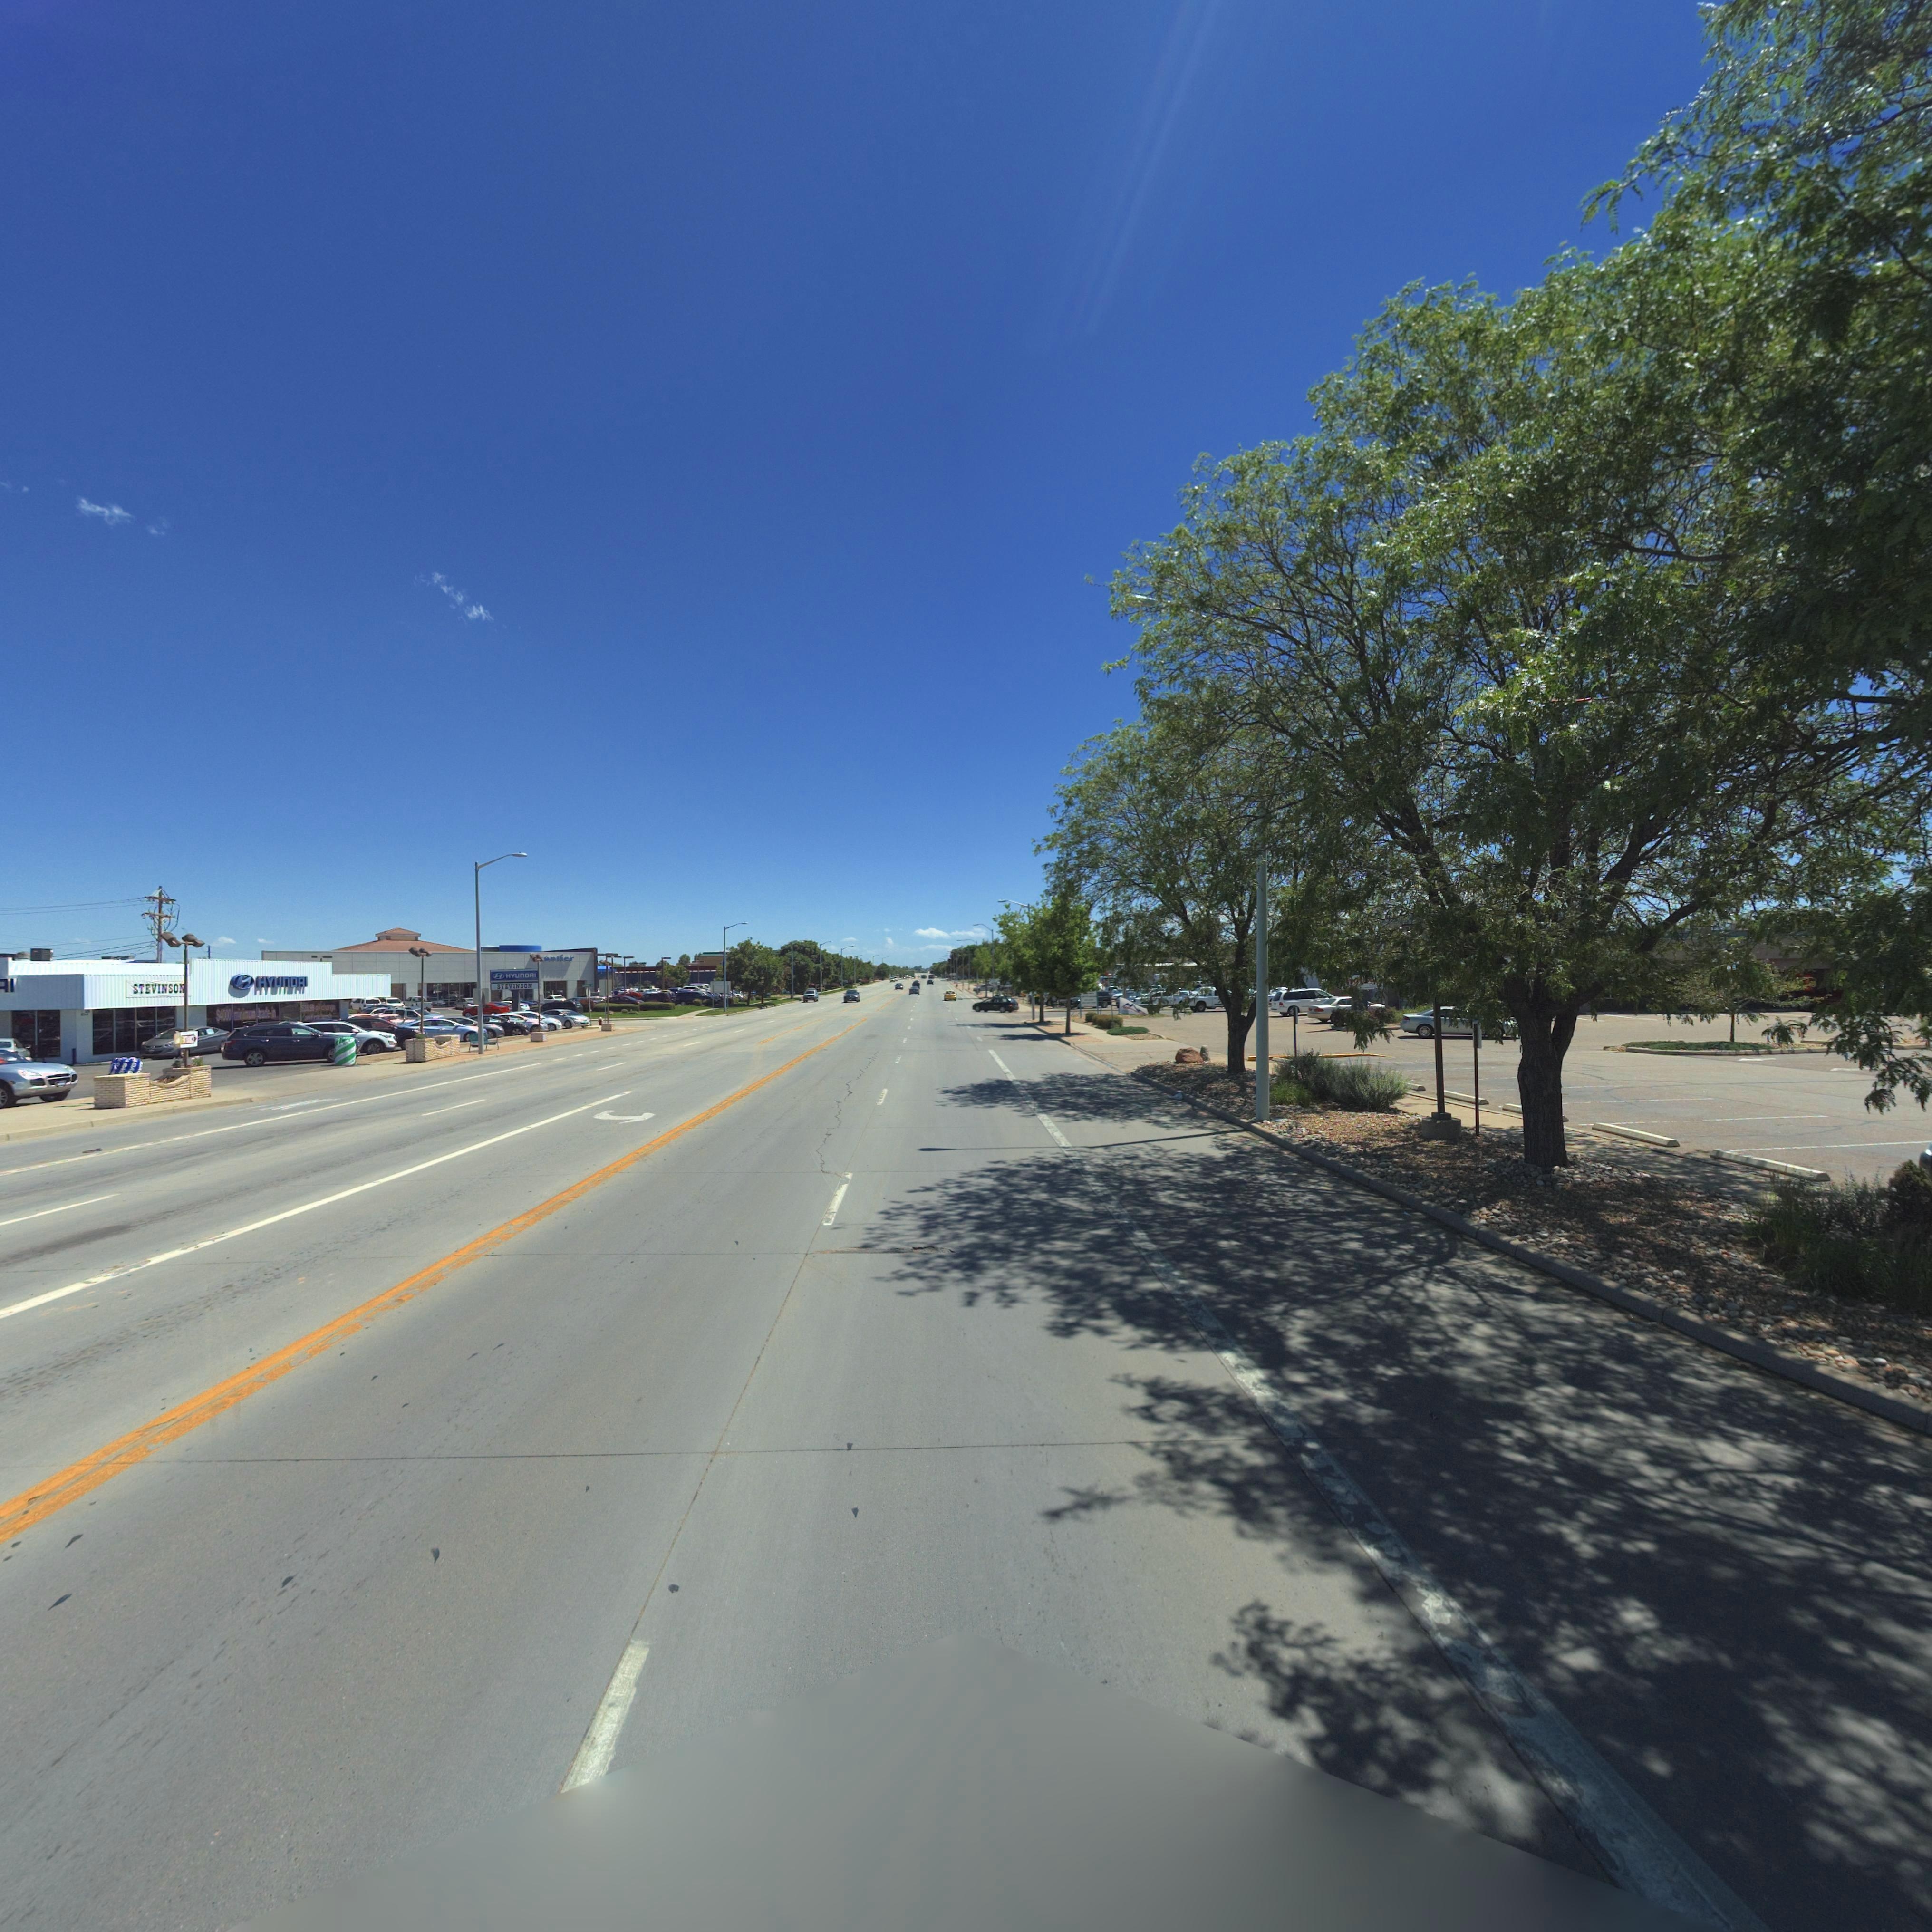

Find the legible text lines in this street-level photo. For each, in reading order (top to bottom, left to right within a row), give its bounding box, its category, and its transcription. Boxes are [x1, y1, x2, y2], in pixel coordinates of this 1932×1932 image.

[534, 954, 574, 961] BusinessName: **ontier
[505, 973, 537, 978] BusinessName: HYUNDAI
[10, 979, 14, 992] BusinessName: I
[133, 983, 185, 994] BusinessName: STEVINSO*
[257, 976, 308, 987] BusinessName: HYUNDAI
[496, 983, 532, 989] BusinessName: STEVINSON
[582, 984, 594, 987] StreetName: C**** **